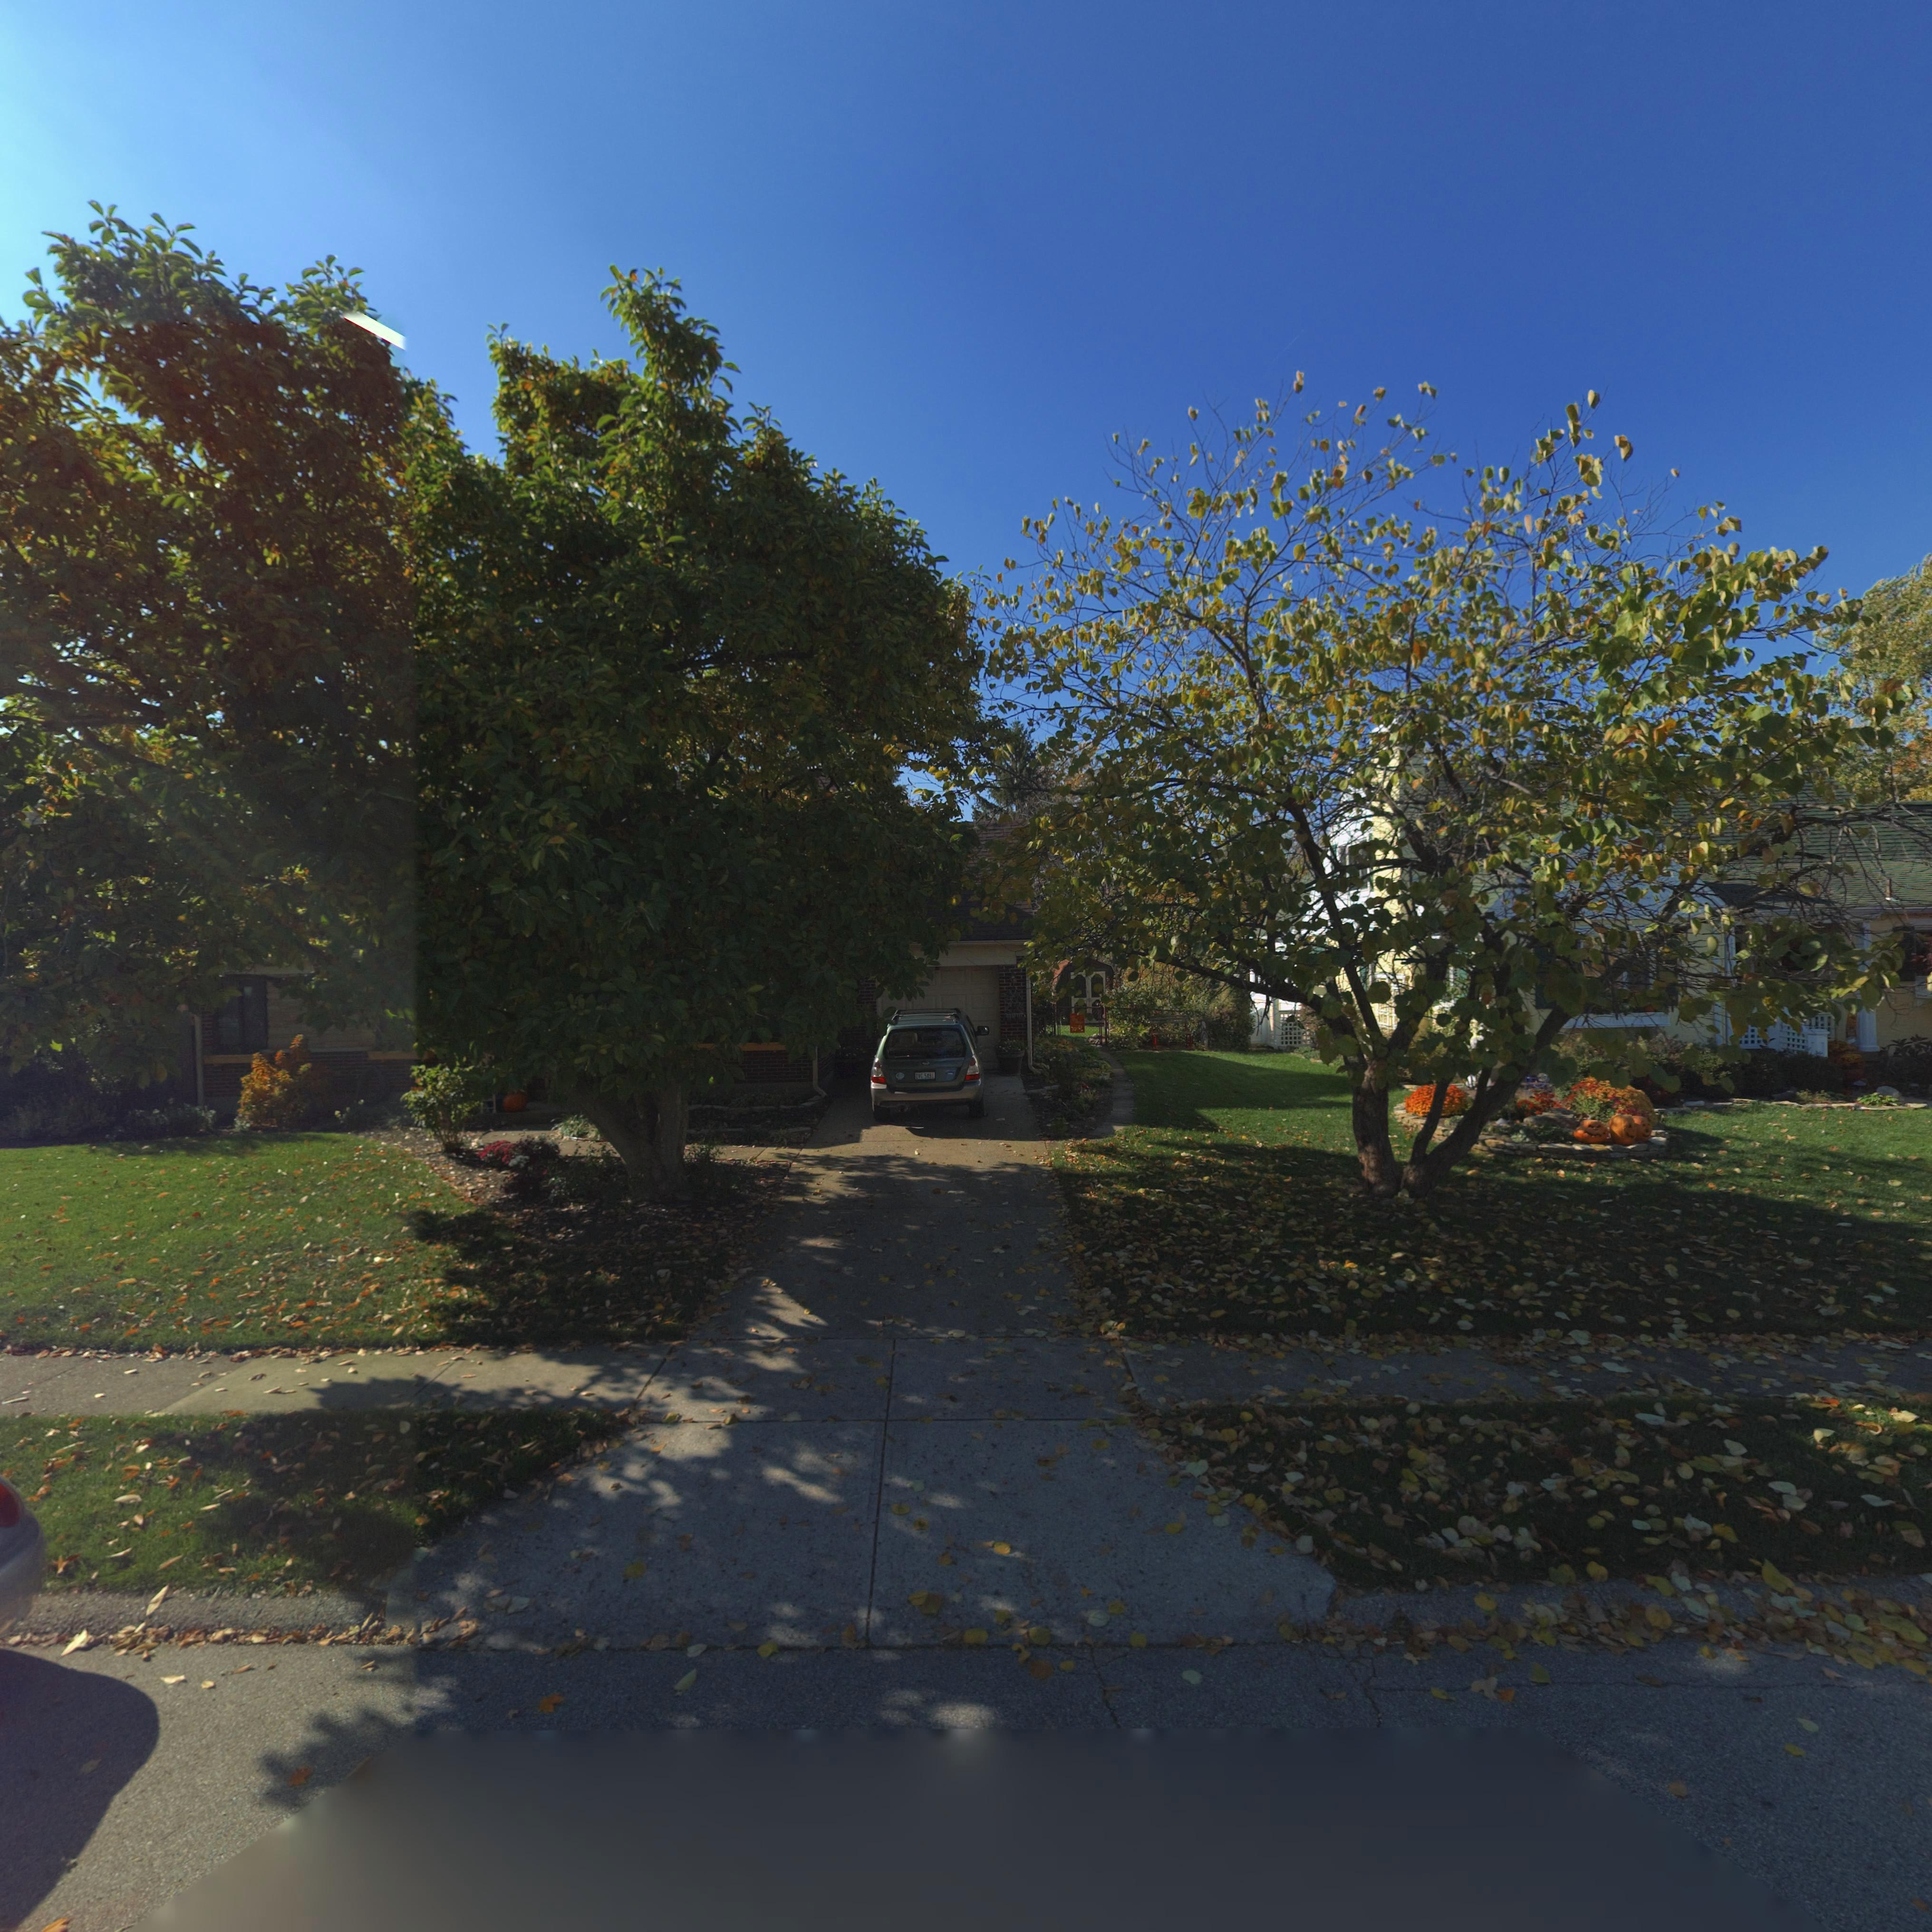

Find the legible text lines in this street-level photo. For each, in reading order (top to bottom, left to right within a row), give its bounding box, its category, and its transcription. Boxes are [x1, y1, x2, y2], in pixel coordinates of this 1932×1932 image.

[915, 1072, 934, 1079] None: *VG*5491